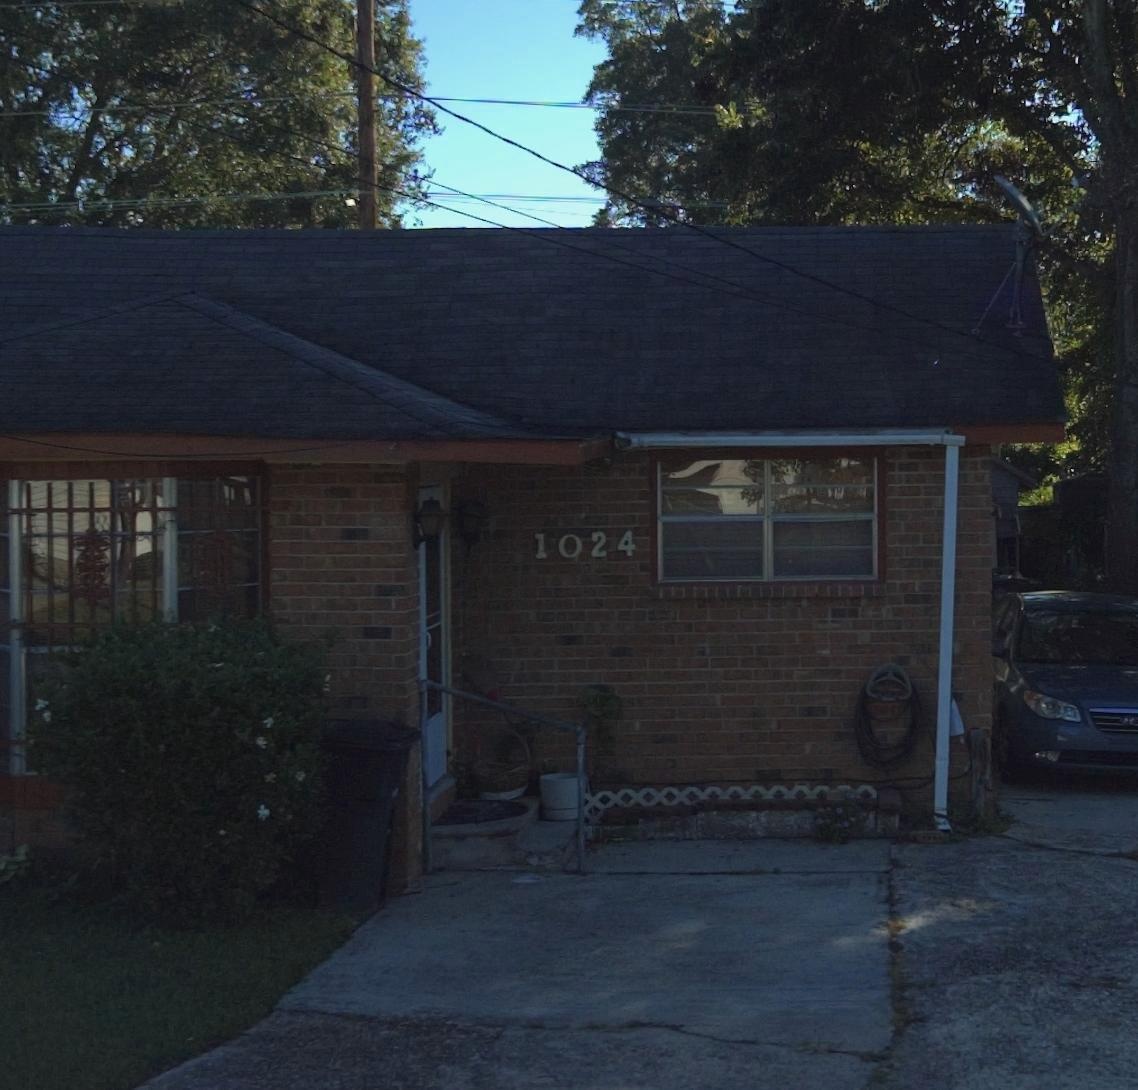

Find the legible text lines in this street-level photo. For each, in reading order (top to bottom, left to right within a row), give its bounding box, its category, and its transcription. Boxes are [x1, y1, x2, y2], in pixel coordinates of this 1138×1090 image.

[532, 527, 638, 562] StreetNumber: 1024